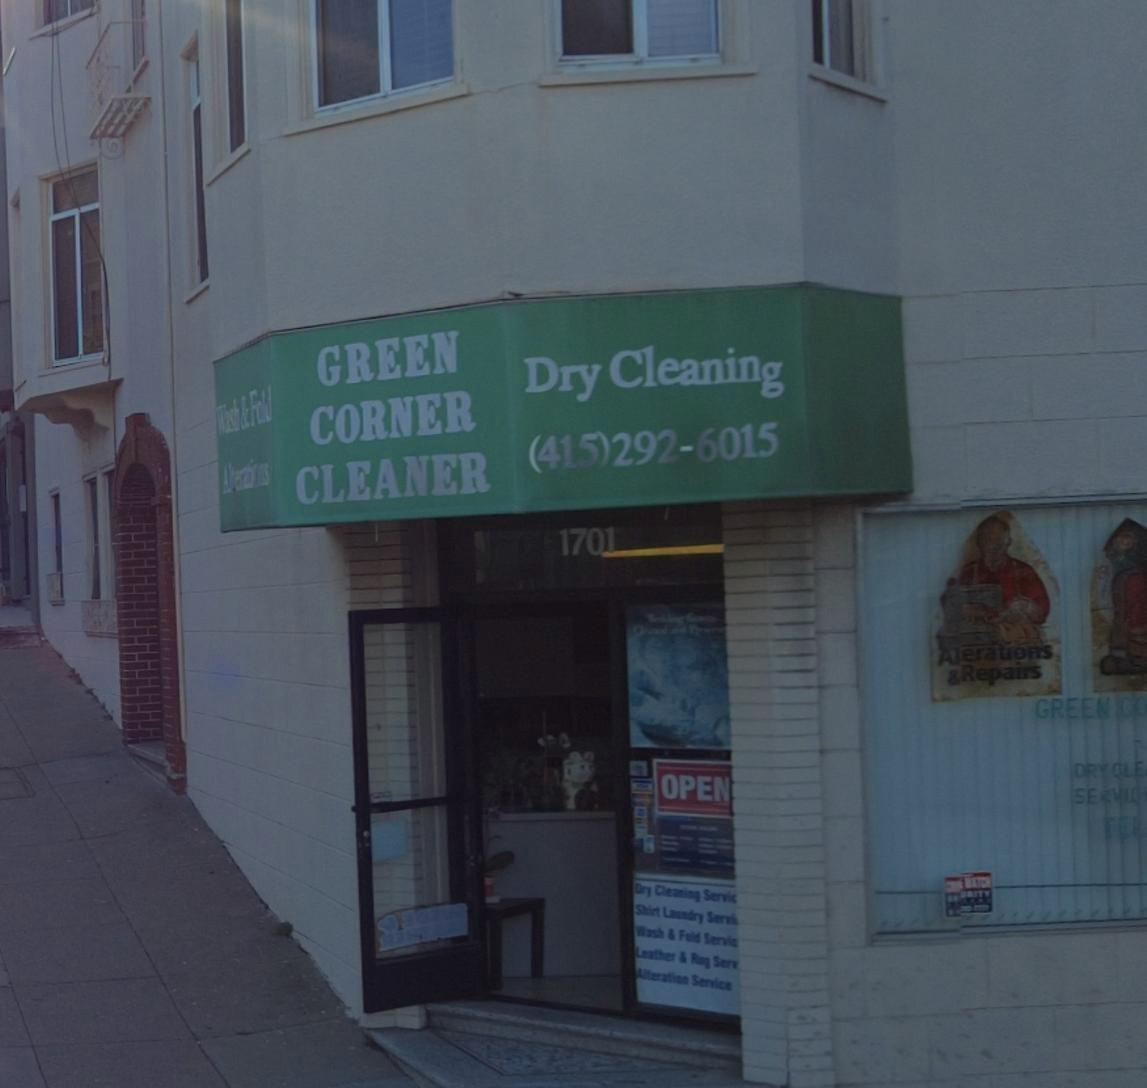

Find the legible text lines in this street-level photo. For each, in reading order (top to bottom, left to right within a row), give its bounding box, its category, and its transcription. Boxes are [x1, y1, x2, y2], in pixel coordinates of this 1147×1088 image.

[313, 326, 459, 390] BusinessName: GREEN
[520, 343, 789, 403] None: Dry Cleaning
[213, 379, 274, 438] None: Wash & Fold
[306, 387, 479, 448] BusinessName: CORNER
[522, 416, 782, 476] None: (415)292-6015
[219, 456, 272, 497] None: Alterations
[291, 447, 493, 508] BusinessName: CLEANER
[556, 524, 619, 559] StreetNumber: 1701
[934, 640, 1055, 669] None: Alterations
[946, 663, 1043, 689] None: & Repairs
[1033, 692, 1137, 721] BusinessName: GREEN C
[1072, 759, 1146, 780] None: DRY CLE
[659, 770, 732, 804] None: OPEN
[1073, 785, 1100, 808] None: SE
[632, 881, 739, 906] None: Dry Cleaning Servic
[633, 900, 739, 929] None: Shirt Laundry Servi
[634, 922, 739, 950] None: Wash & Fold Servic
[634, 943, 740, 972] None: Leather & Rug Serv
[634, 966, 733, 993] None: Alteration Service